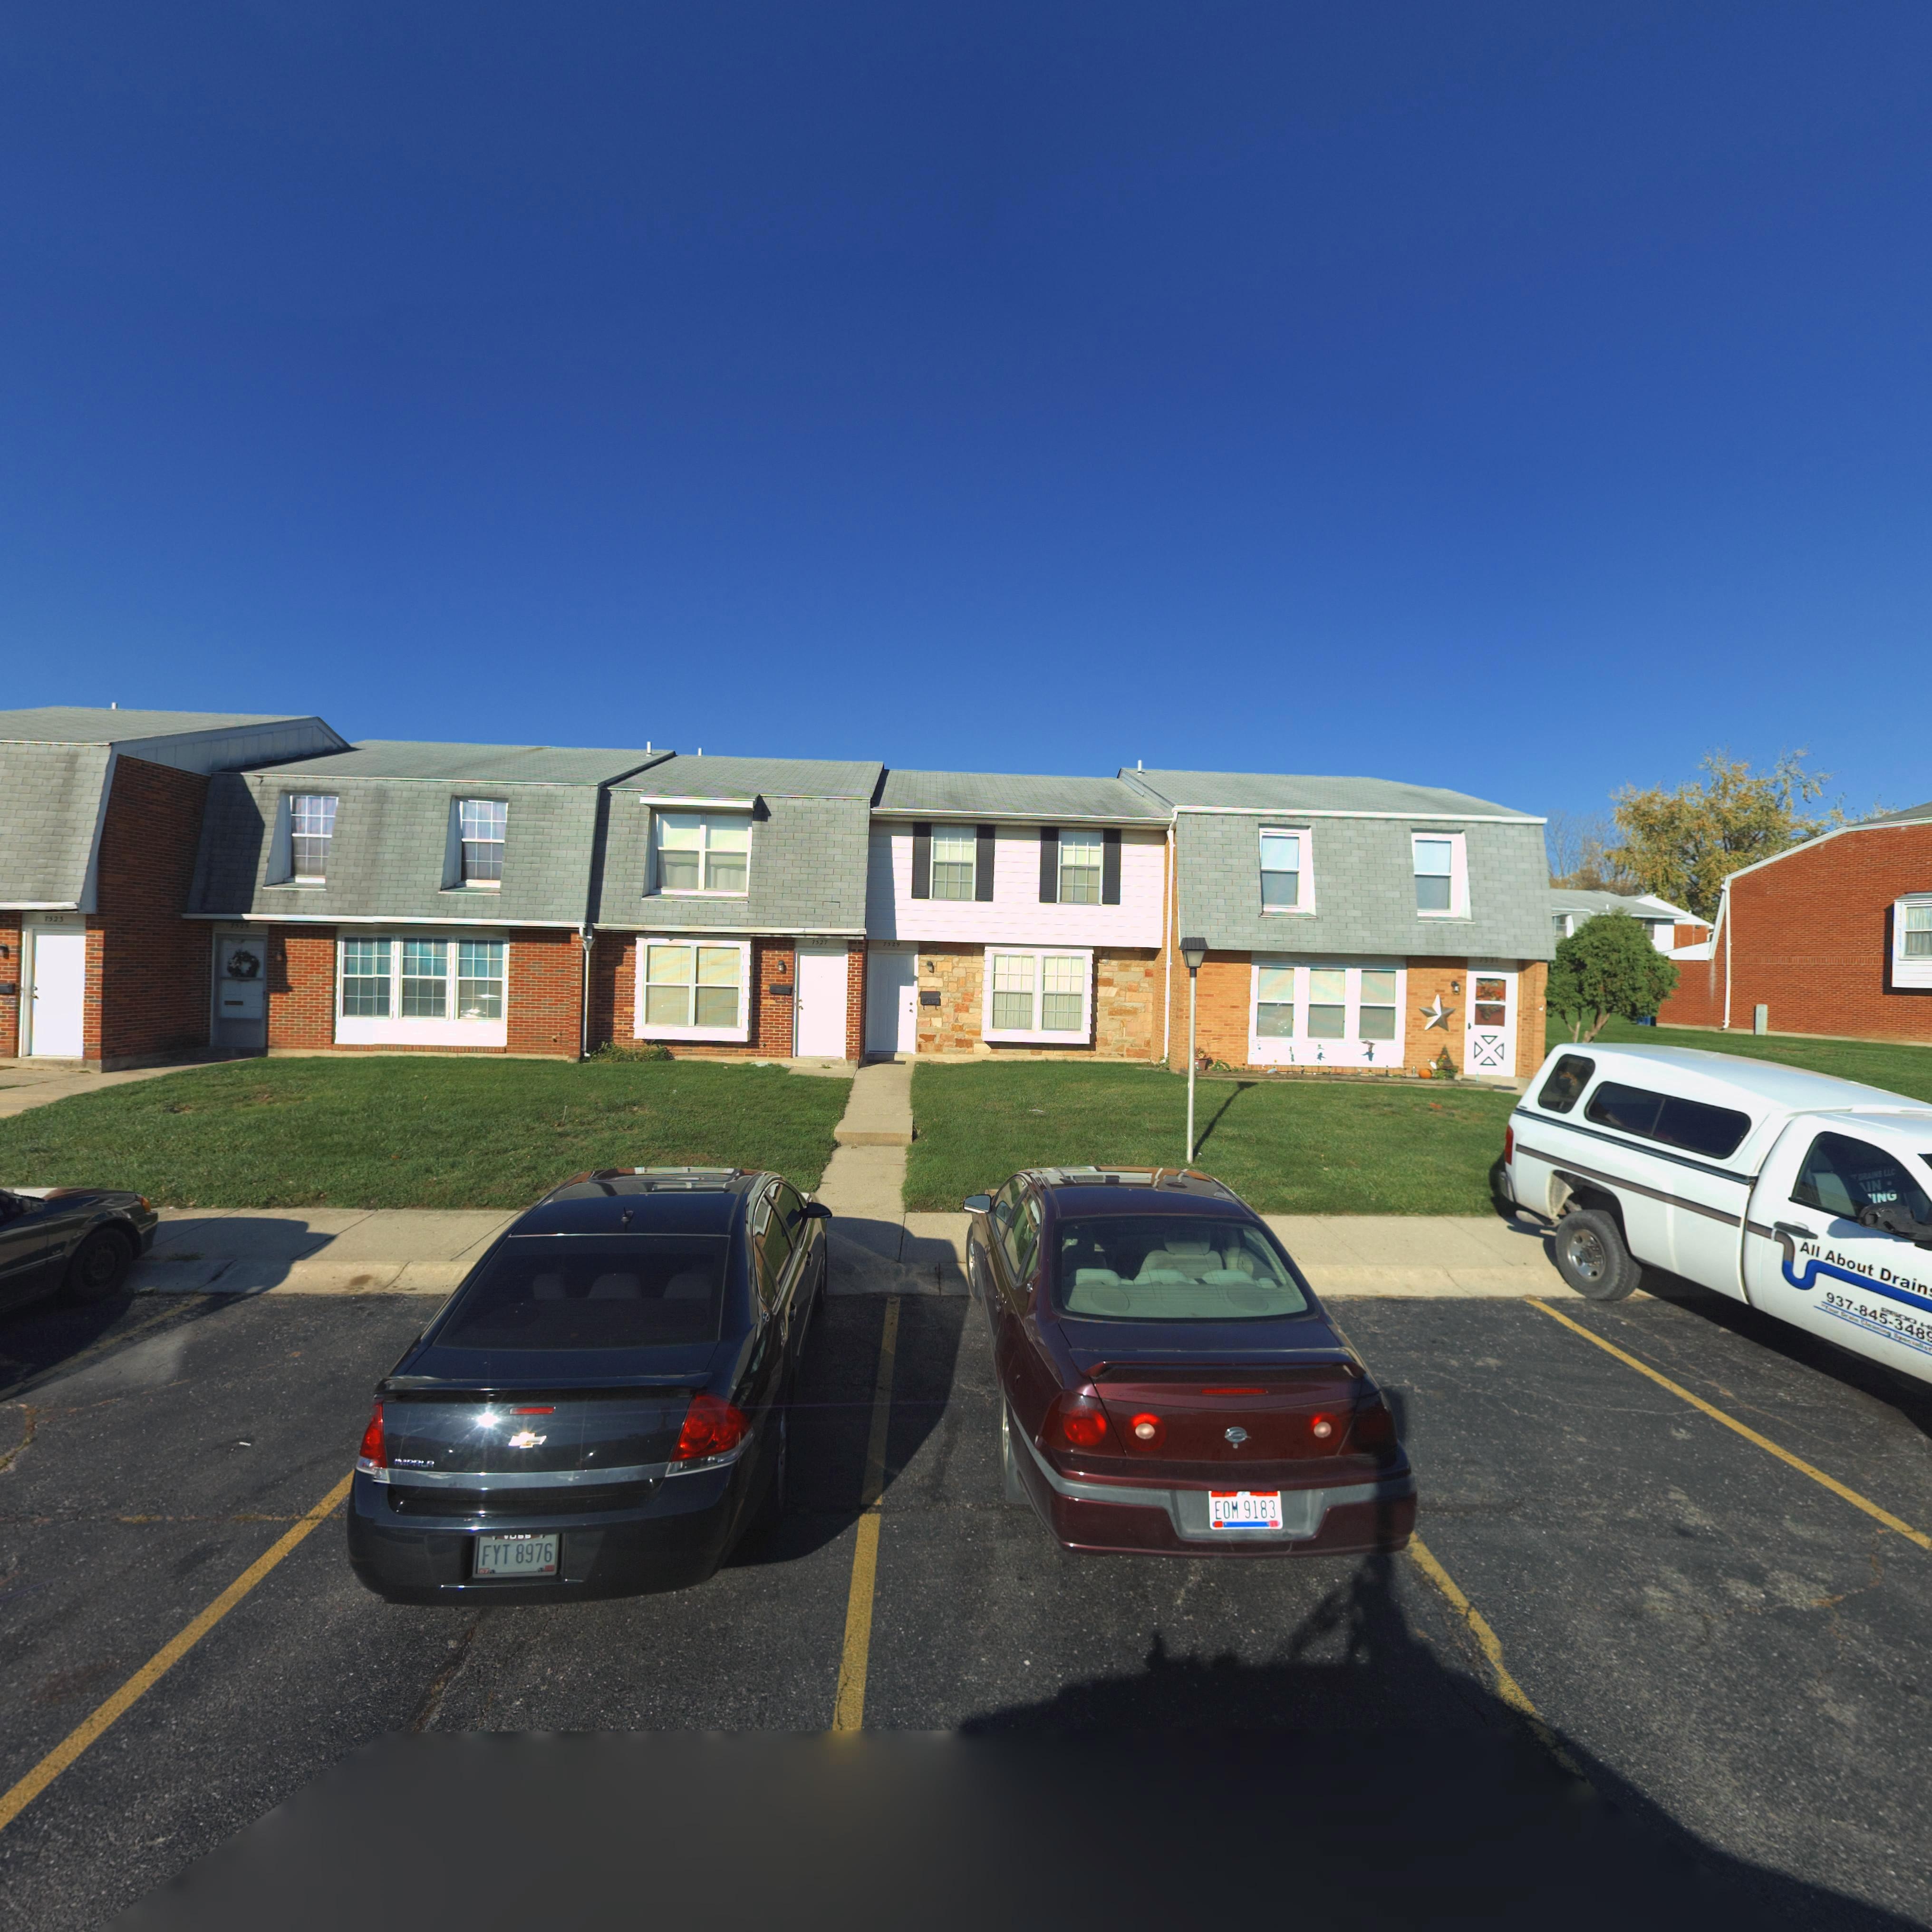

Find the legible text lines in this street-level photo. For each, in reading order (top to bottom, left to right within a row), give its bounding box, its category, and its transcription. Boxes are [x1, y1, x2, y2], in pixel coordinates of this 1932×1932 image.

[44, 915, 63, 922] StreetNumber: 7523
[229, 922, 250, 929] StreetNumber: 7525
[811, 939, 828, 945] StreetNumber: 7527
[883, 941, 900, 947] StreetNumber: 7529
[1478, 956, 1498, 963] StreetNumber: 7531